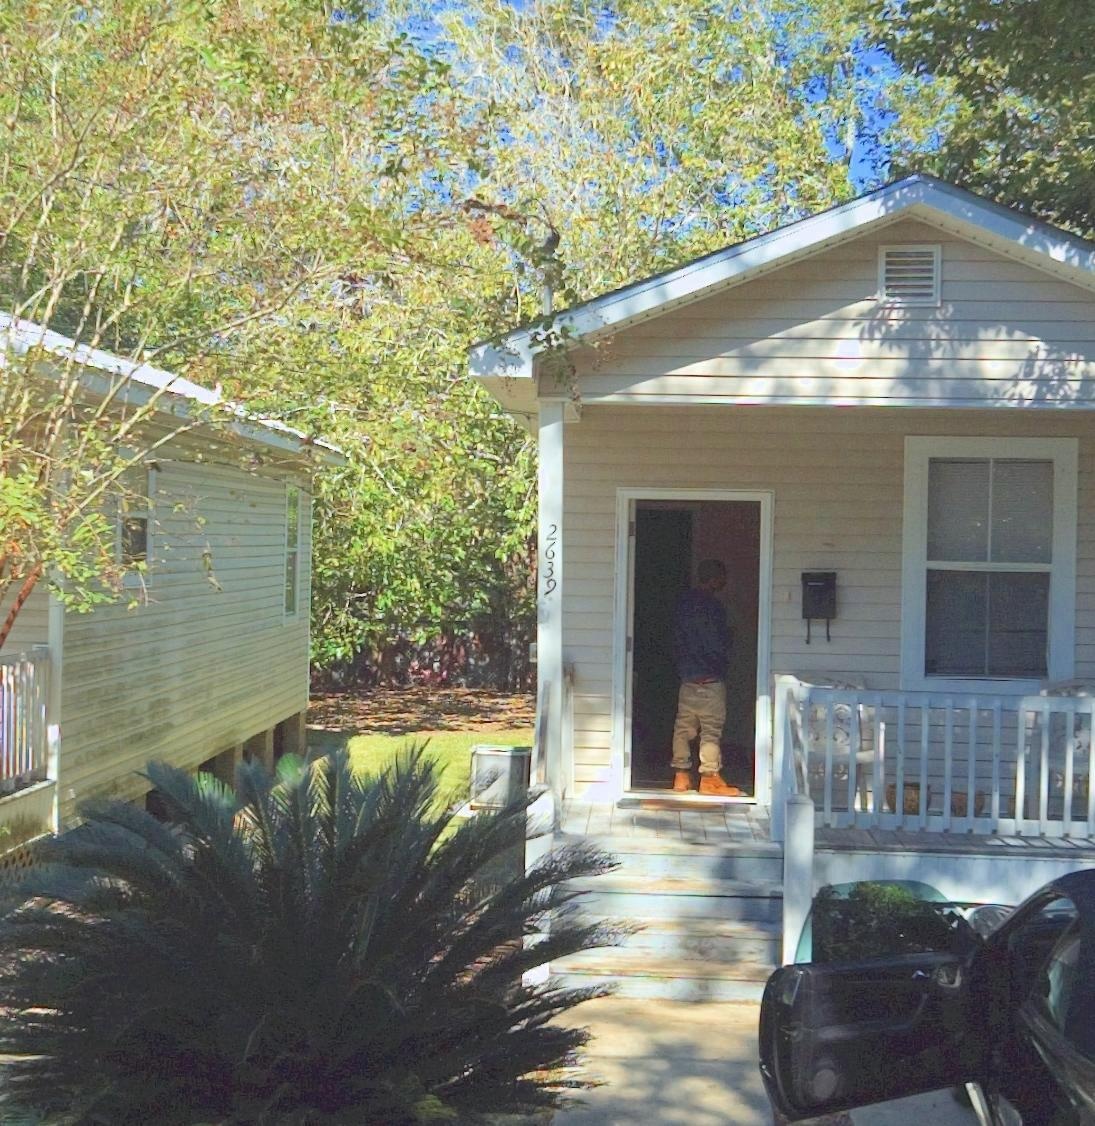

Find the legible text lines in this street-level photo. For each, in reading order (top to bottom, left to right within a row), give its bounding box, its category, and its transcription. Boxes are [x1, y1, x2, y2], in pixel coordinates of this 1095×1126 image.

[541, 522, 560, 598] StreetNumber: 2639